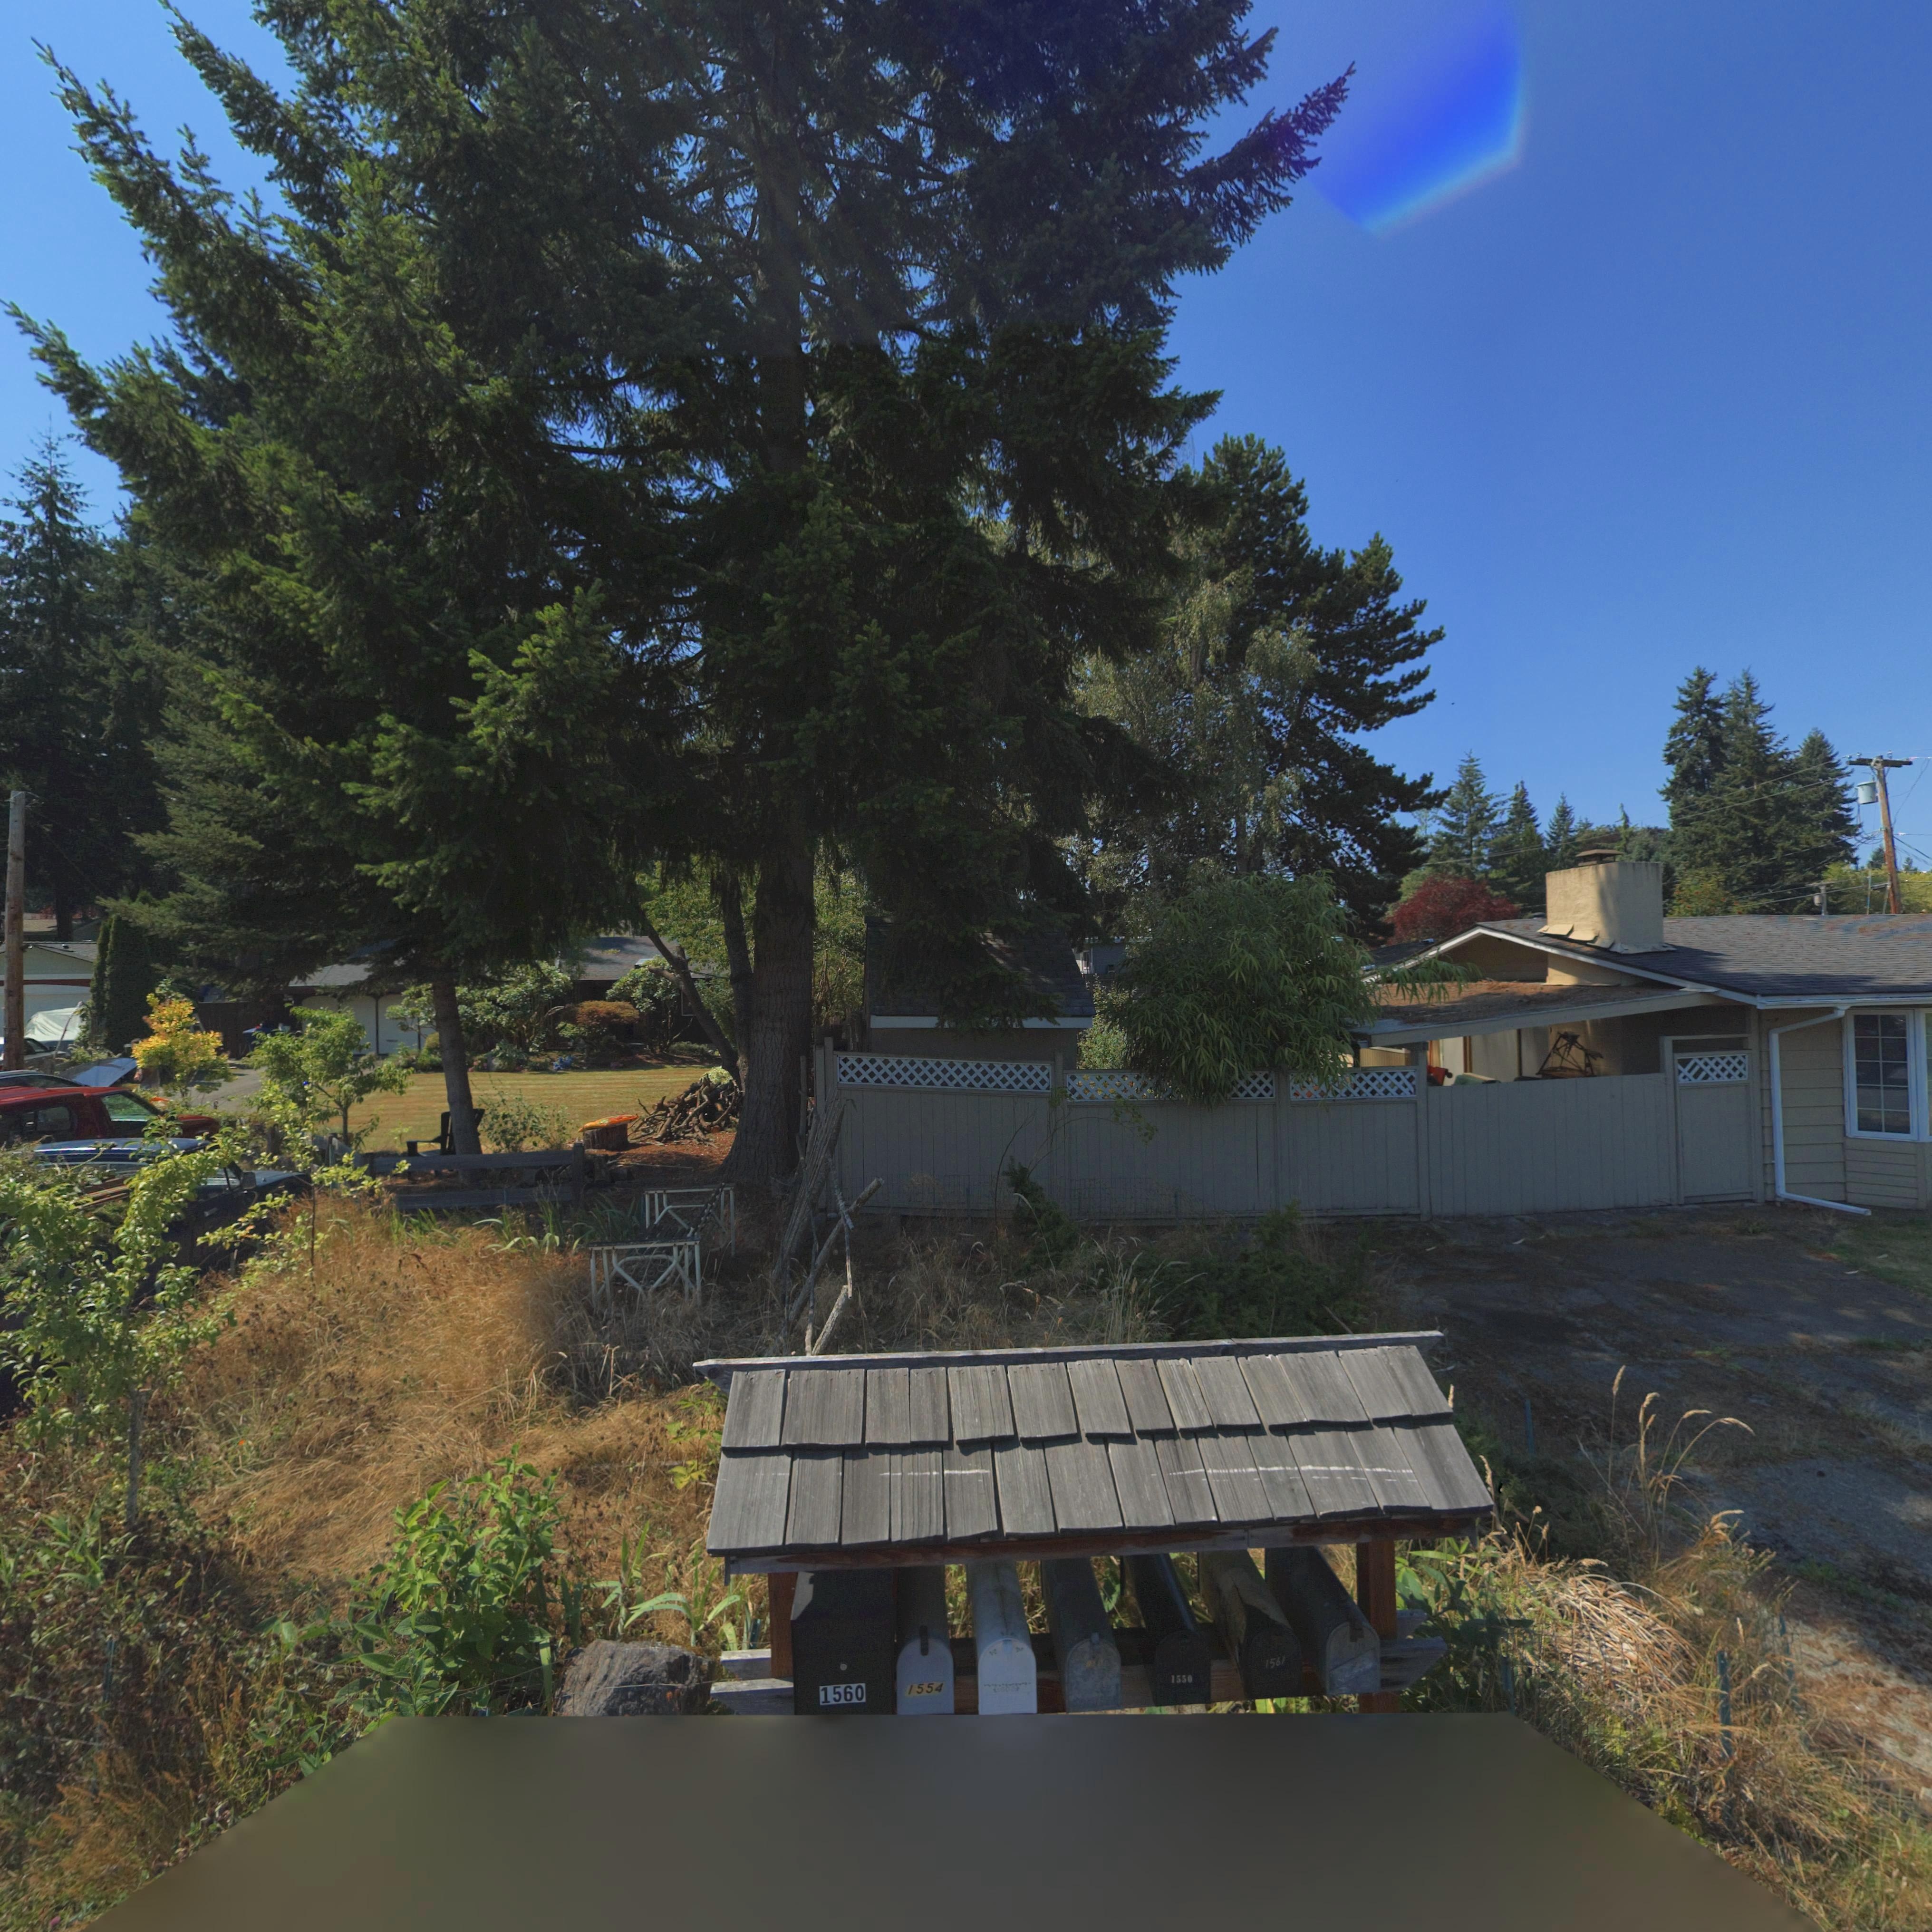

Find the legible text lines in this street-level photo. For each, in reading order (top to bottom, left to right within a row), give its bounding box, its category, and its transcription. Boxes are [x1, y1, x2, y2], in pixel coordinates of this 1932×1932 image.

[820, 1683, 865, 1704] StreetNumber: 1560